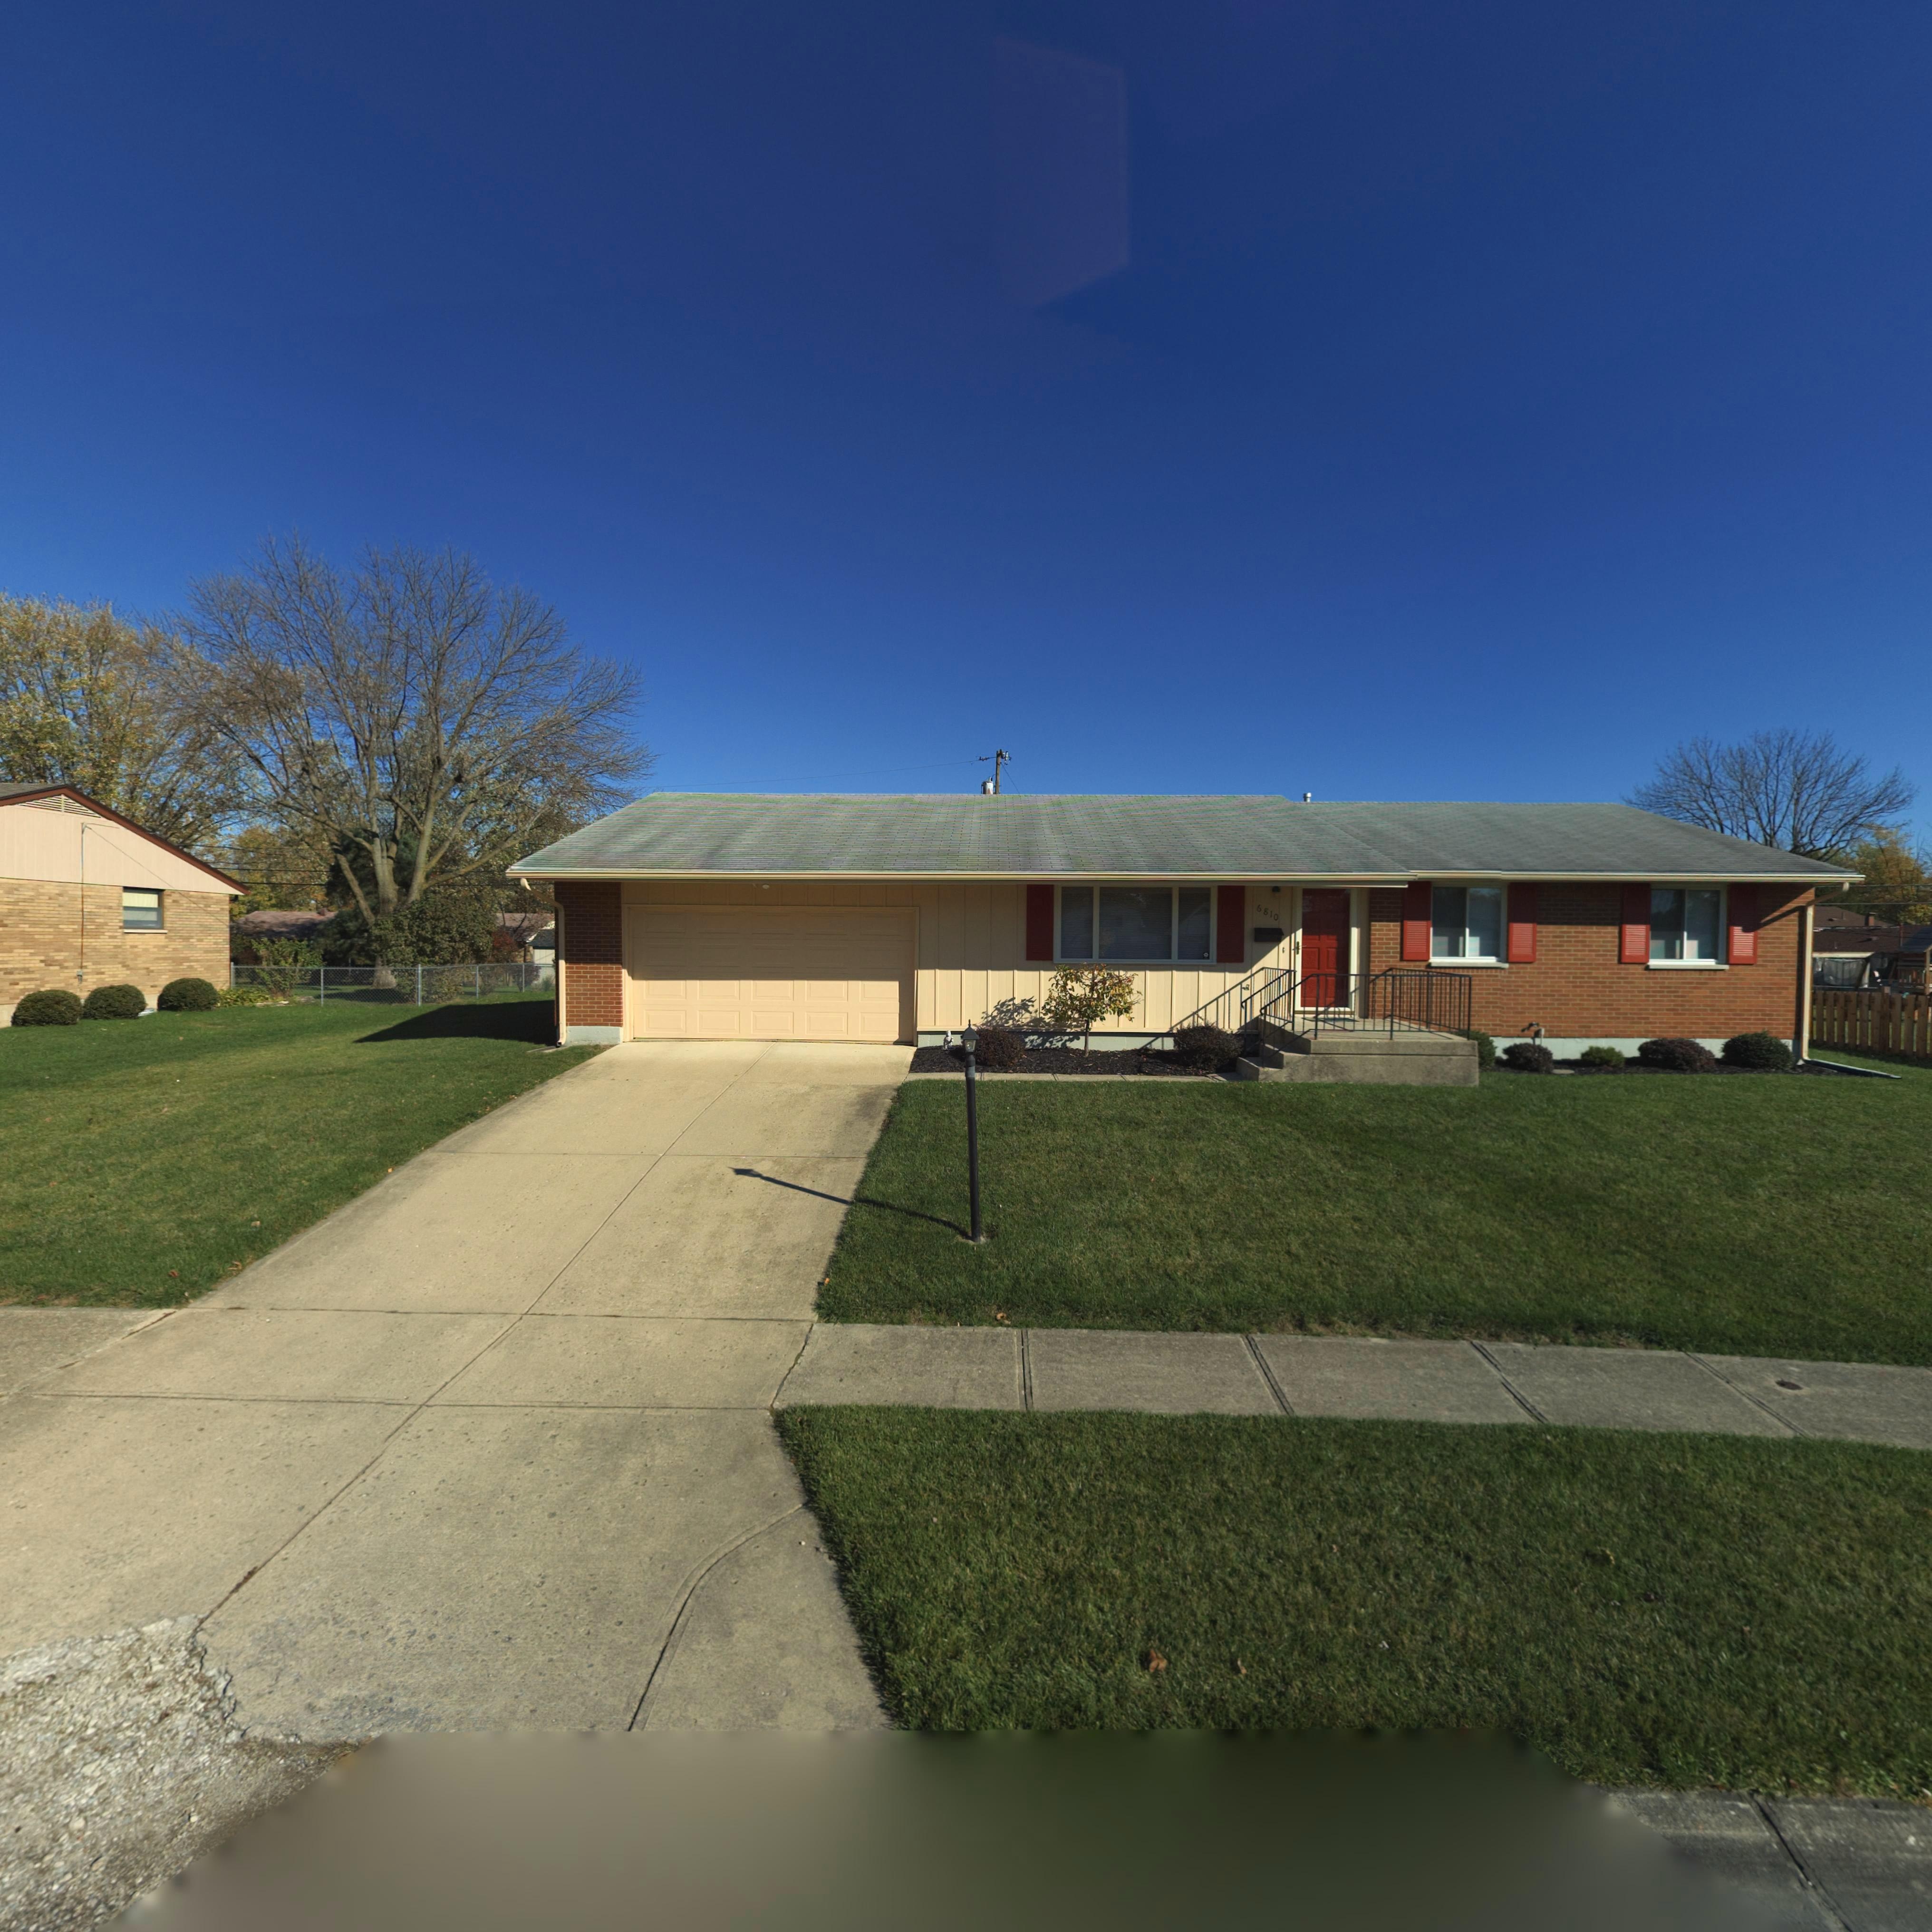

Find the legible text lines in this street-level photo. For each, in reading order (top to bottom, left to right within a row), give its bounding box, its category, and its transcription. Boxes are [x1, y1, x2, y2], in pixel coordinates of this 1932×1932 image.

[1256, 904, 1279, 921] StreetNumber: 6810